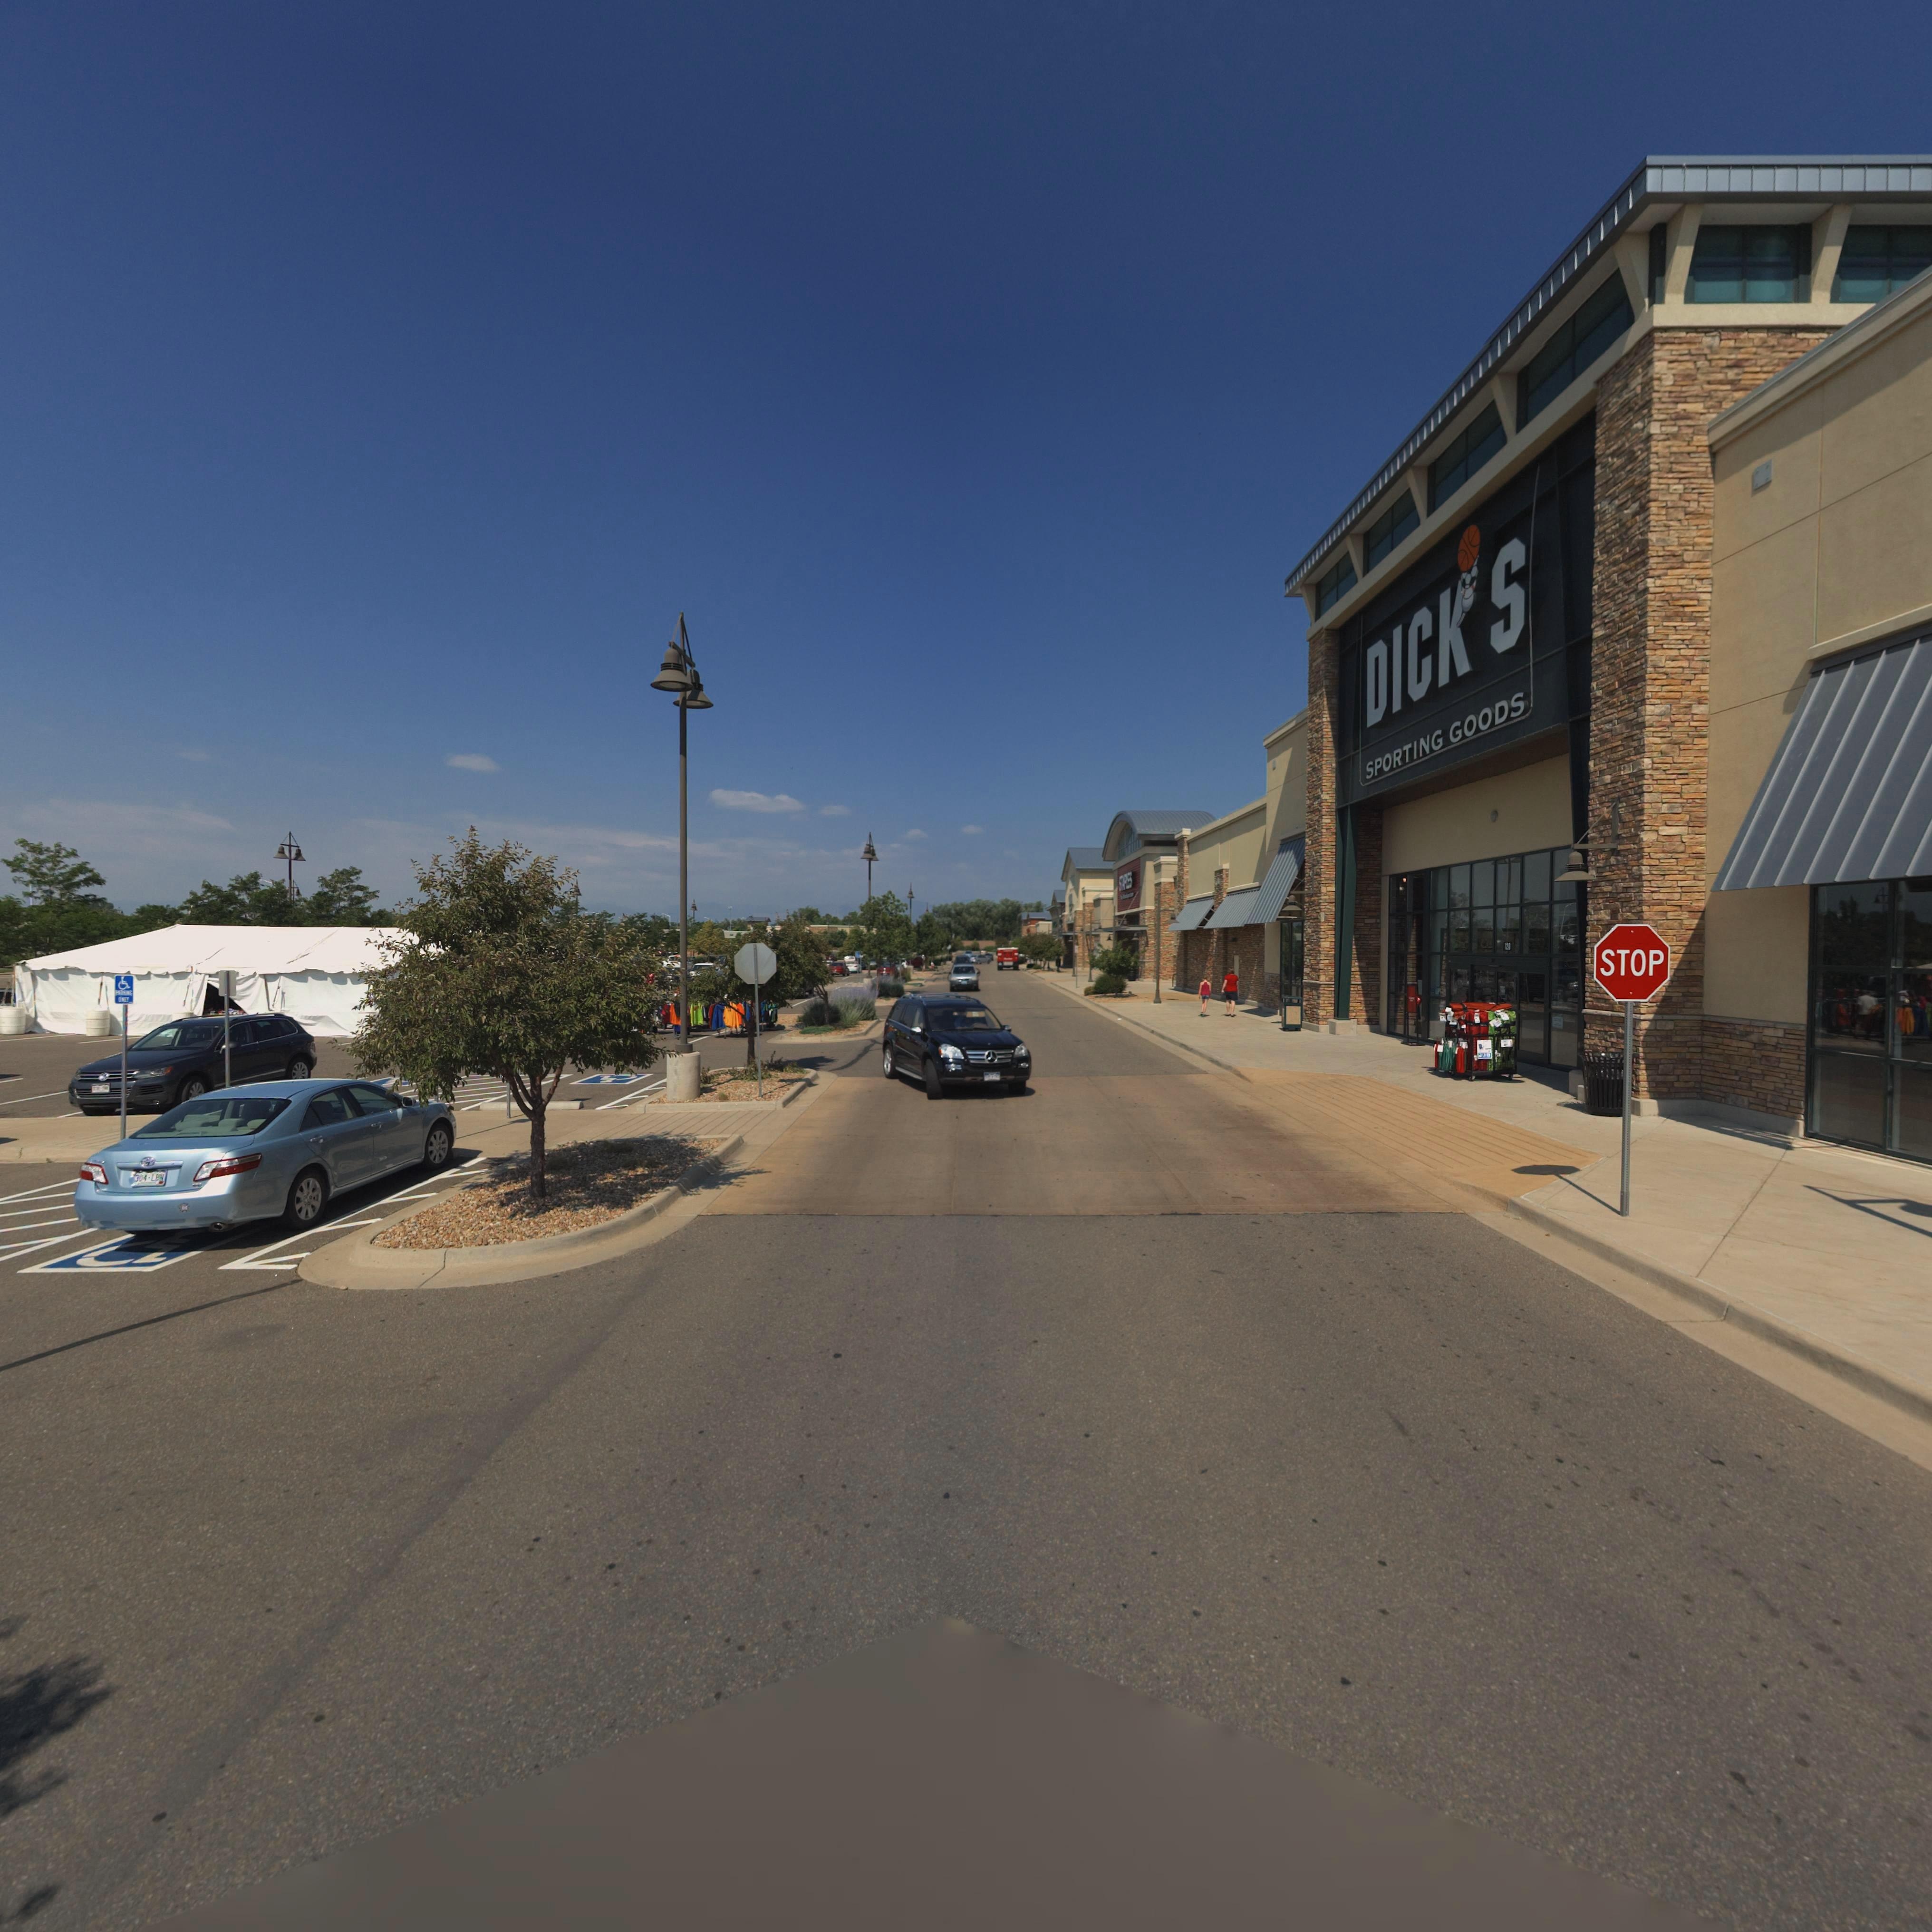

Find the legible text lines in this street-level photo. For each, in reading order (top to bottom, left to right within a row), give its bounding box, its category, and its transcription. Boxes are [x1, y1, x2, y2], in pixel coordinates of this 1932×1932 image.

[1367, 525, 1525, 728] BusinessName: DICK*S
[1365, 692, 1528, 779] BusinessName: SPORTING GOODS
[1119, 871, 1132, 891] BusinessName: S*AP*ES
[1504, 942, 1511, 950] None: 12*